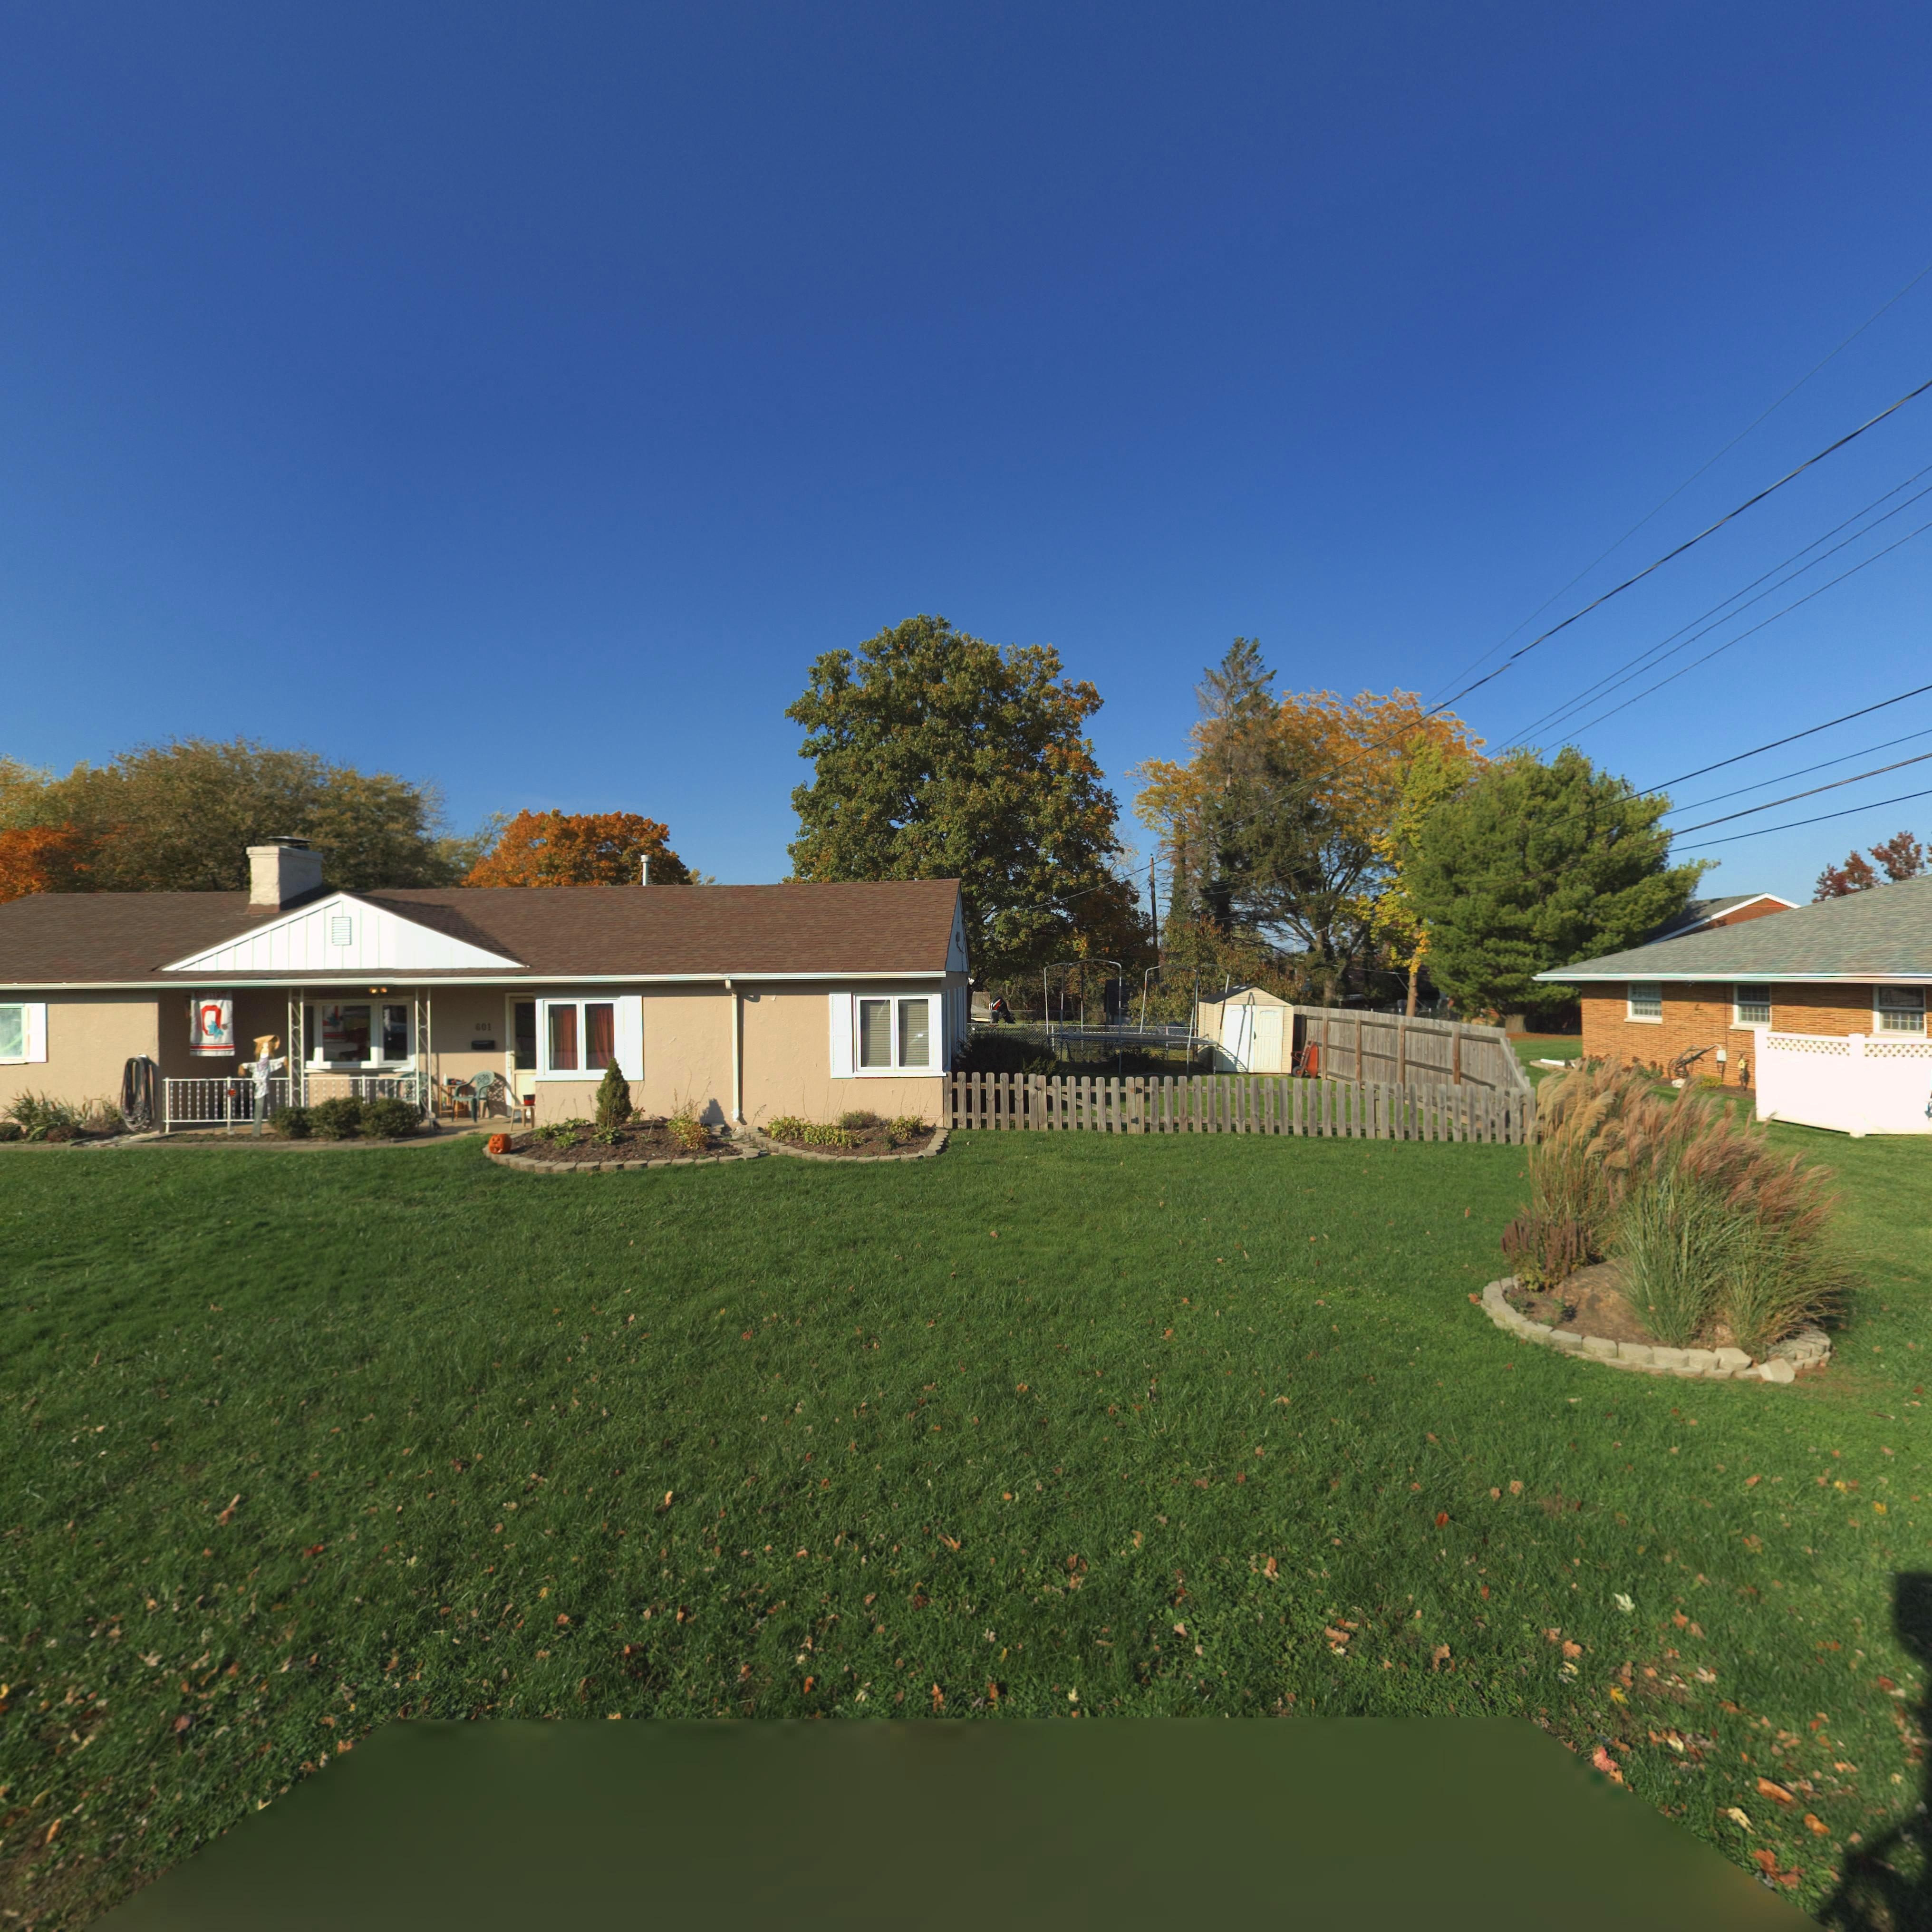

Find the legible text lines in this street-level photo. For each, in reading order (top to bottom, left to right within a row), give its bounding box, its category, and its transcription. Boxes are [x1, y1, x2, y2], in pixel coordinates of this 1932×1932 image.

[474, 1022, 492, 1032] StreetNumber: 601